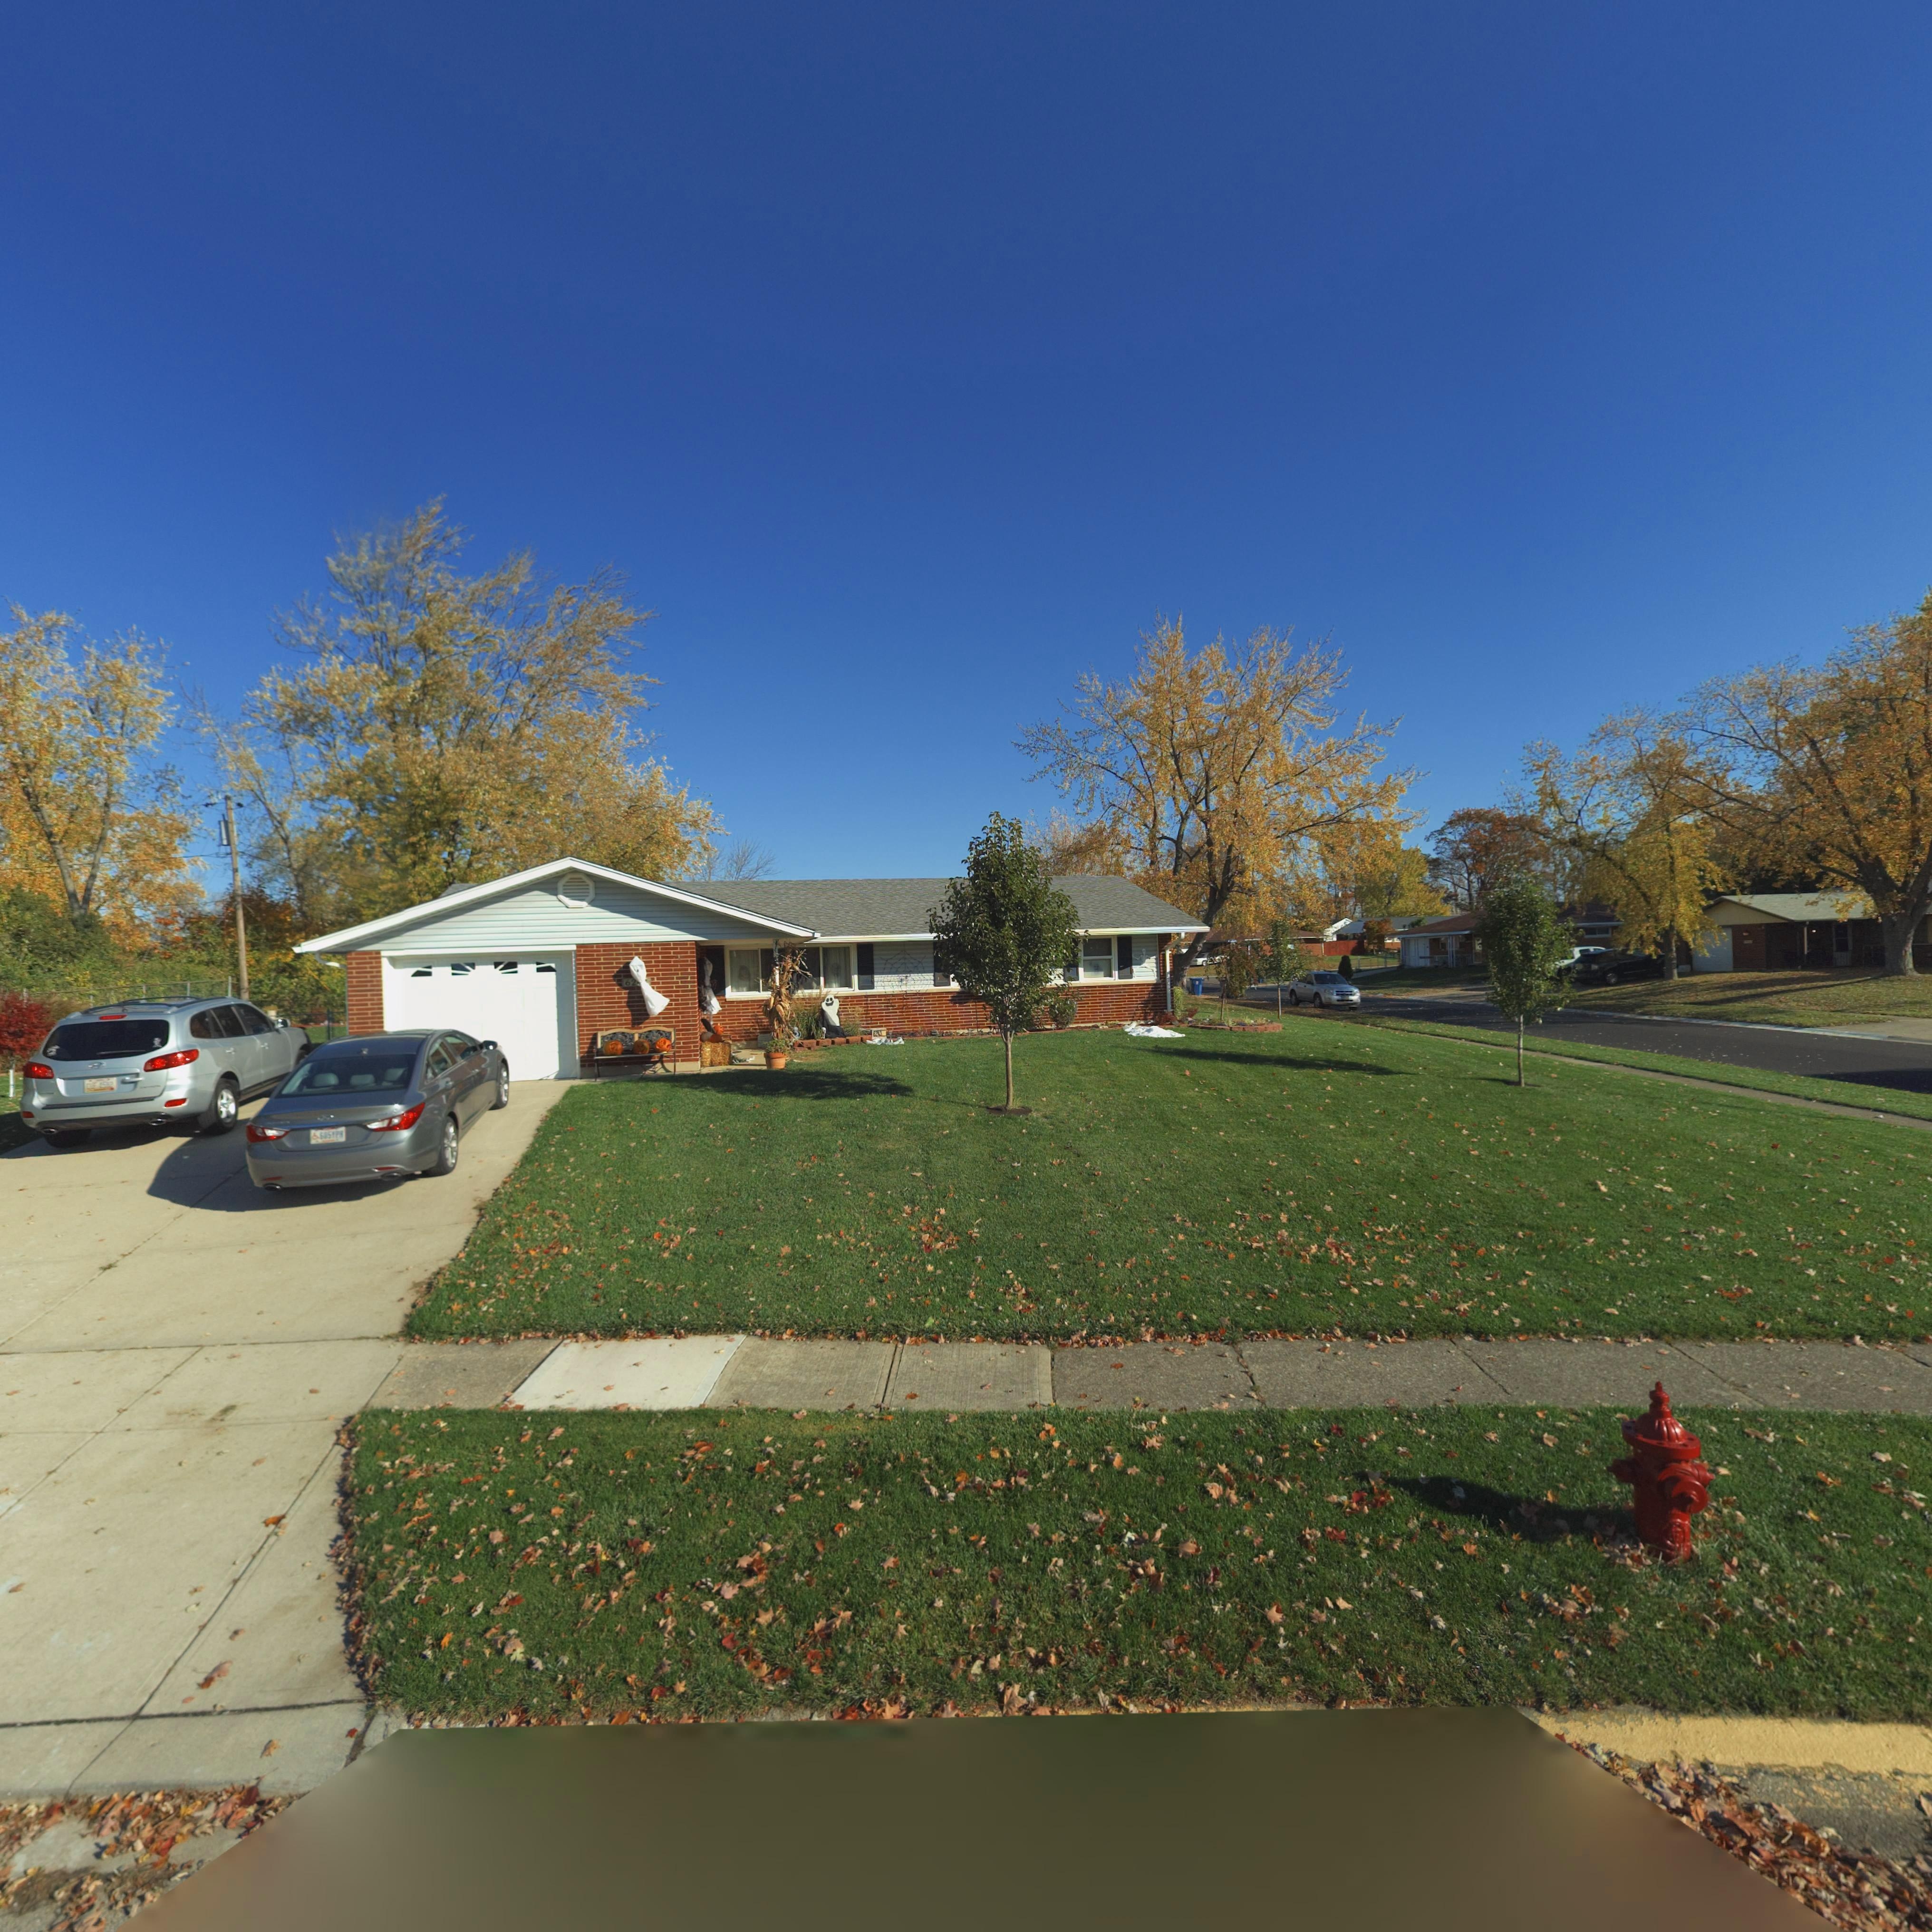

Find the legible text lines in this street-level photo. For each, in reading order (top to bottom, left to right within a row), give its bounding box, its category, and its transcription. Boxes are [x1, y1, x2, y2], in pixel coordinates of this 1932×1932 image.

[624, 978, 638, 987] StreetNumber: 62